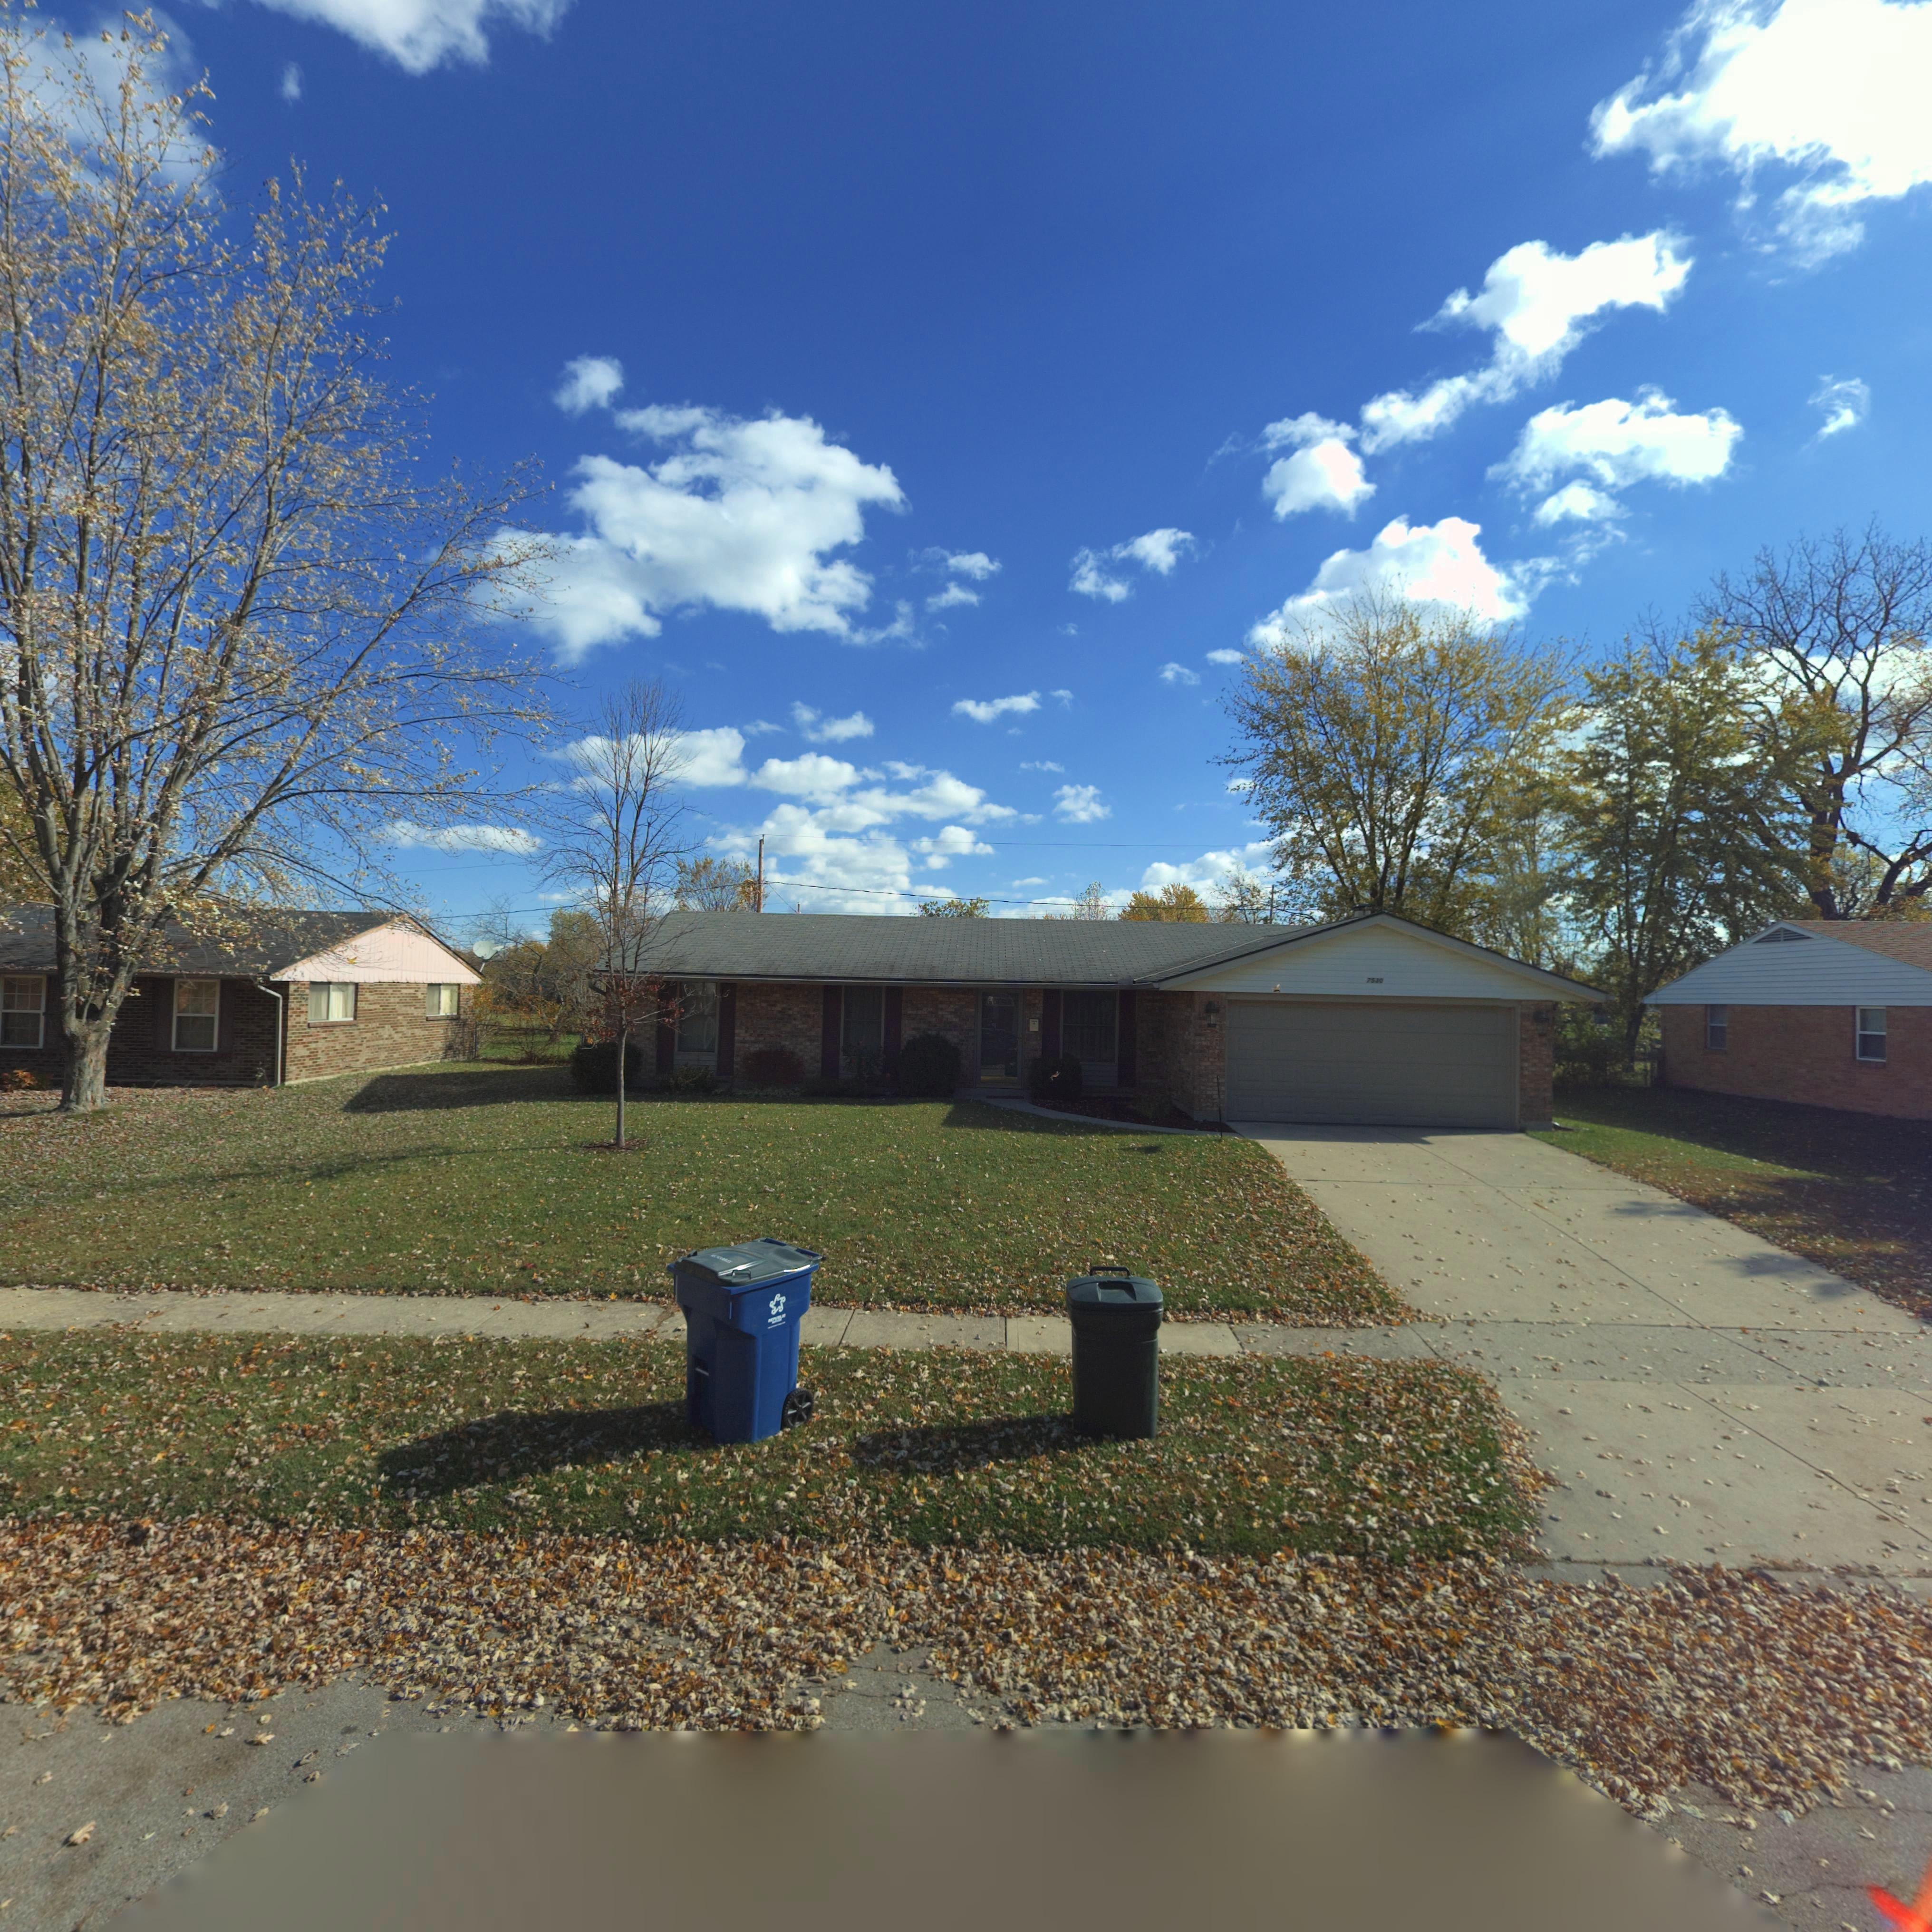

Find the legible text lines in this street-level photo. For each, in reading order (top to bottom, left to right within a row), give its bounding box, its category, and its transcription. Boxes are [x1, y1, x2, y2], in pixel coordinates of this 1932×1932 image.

[1366, 977, 1385, 984] StreetNumber: 75*0